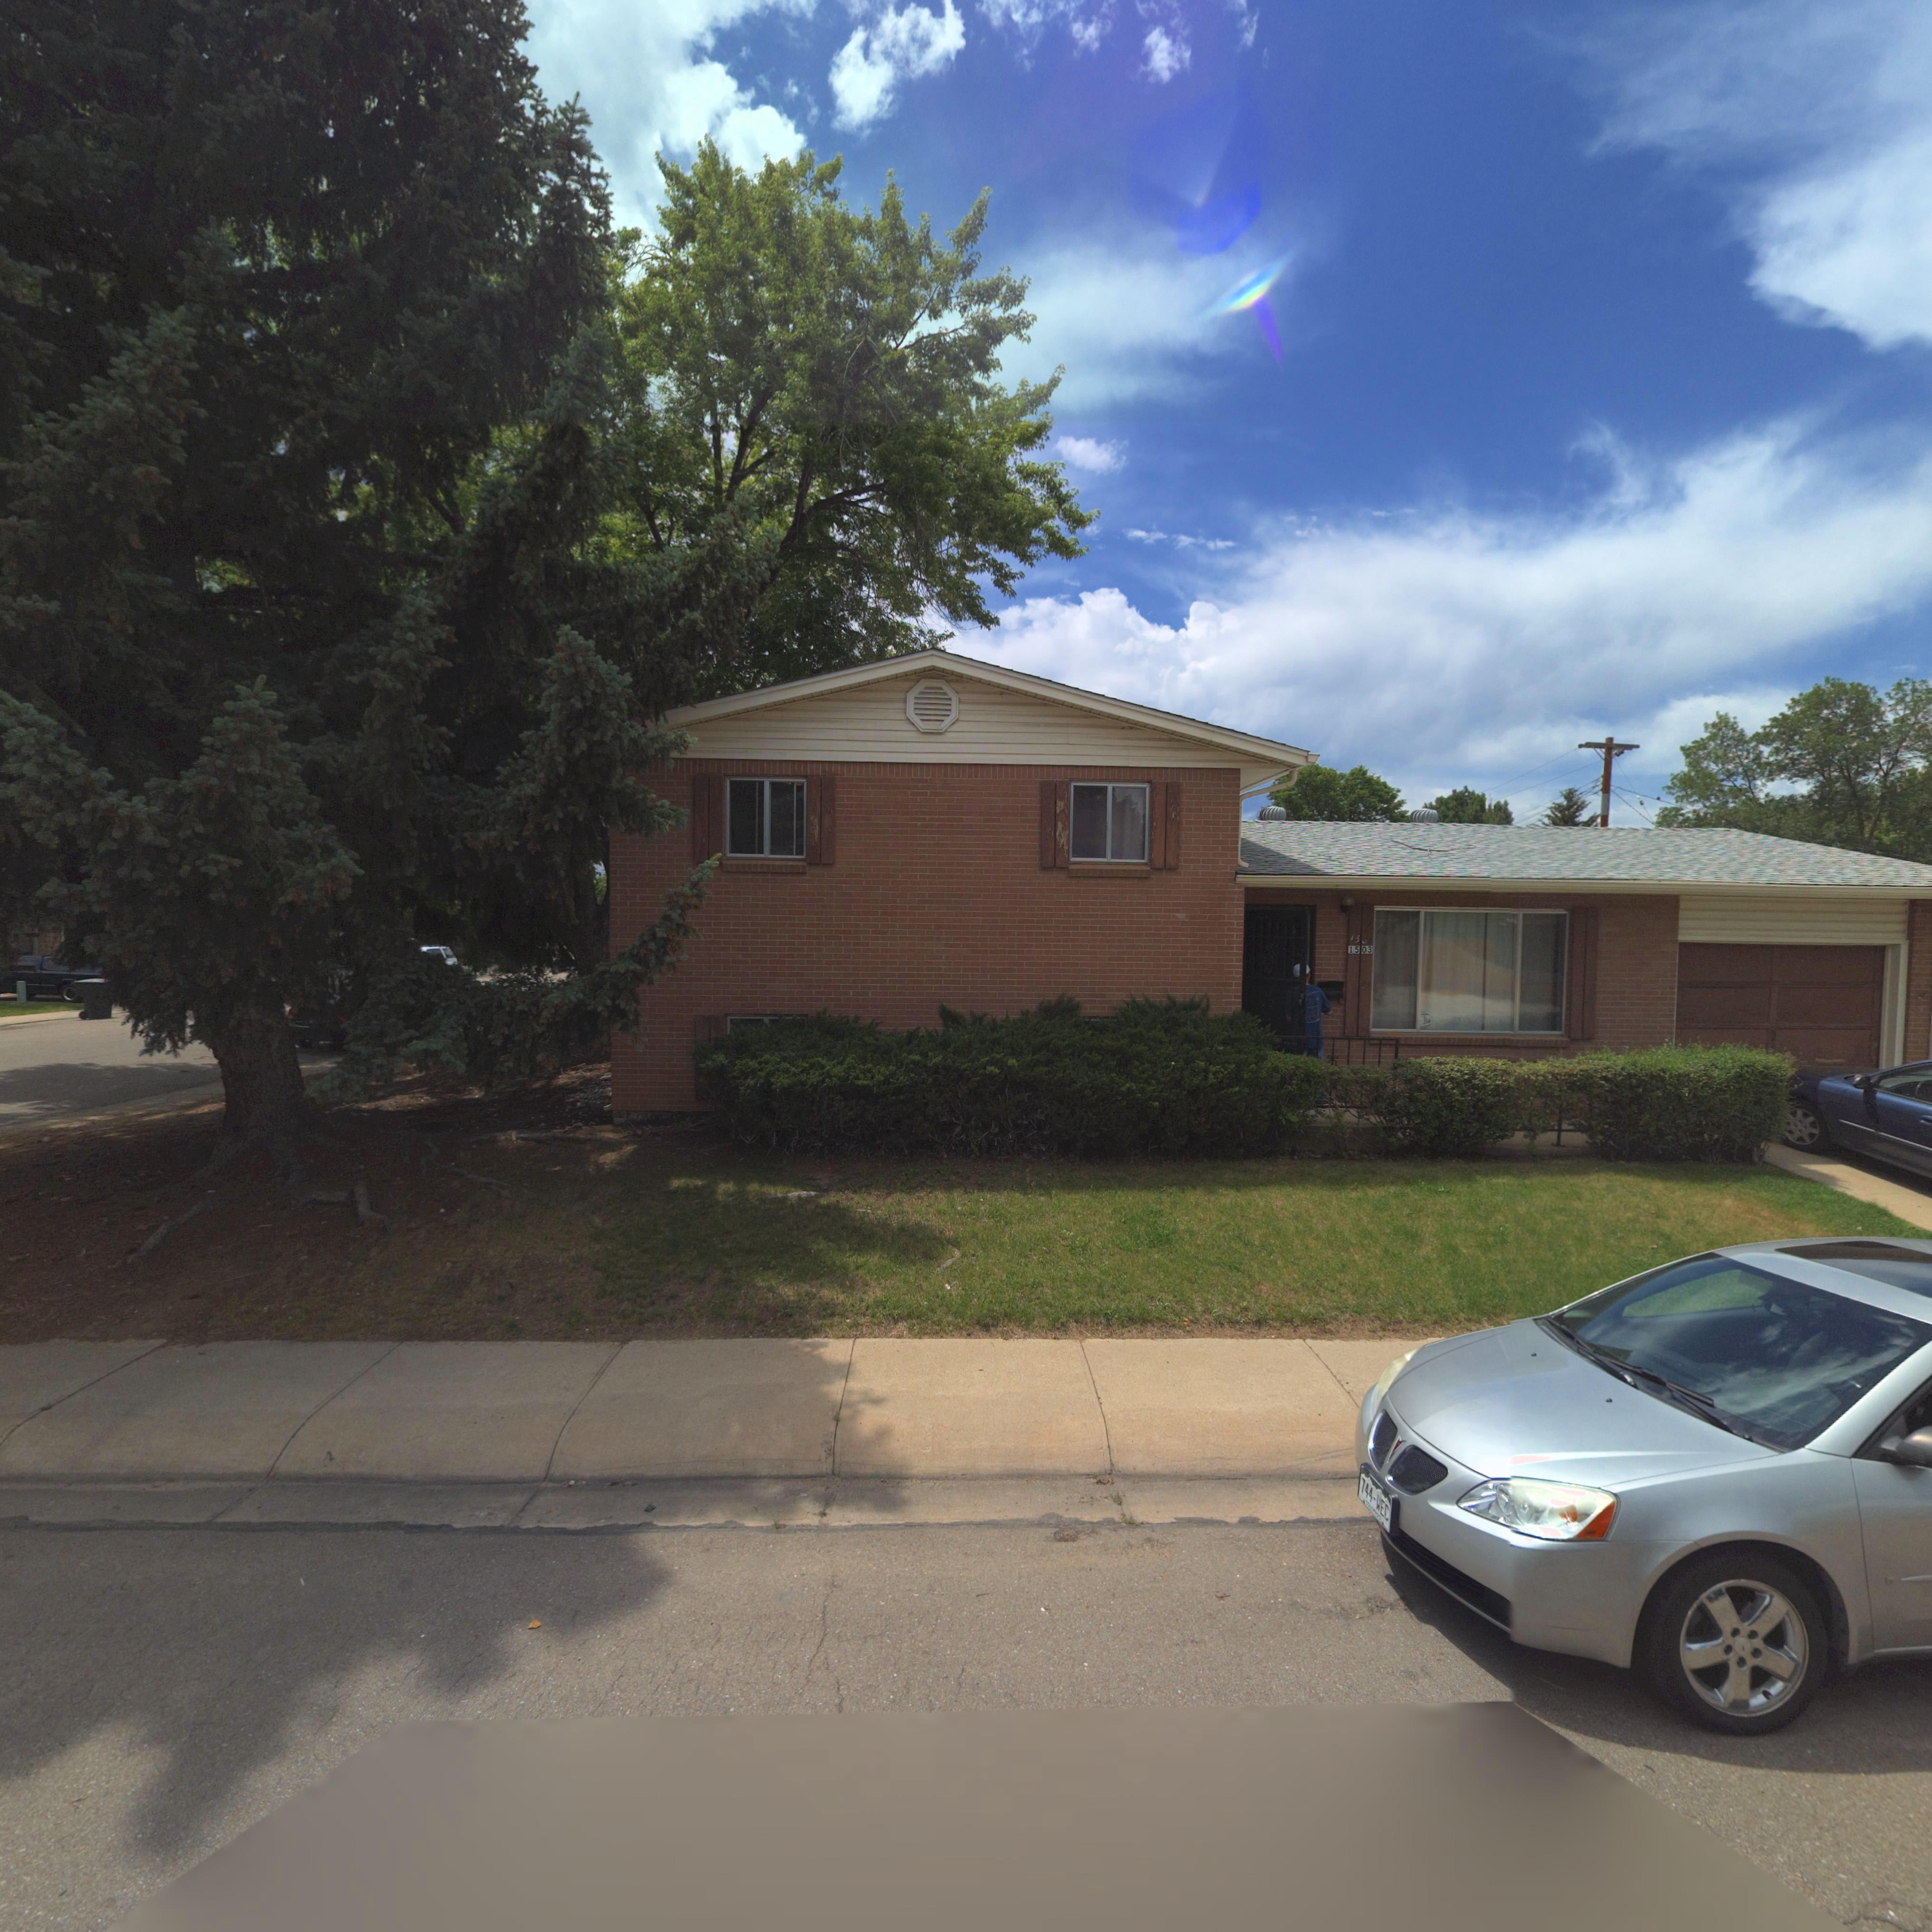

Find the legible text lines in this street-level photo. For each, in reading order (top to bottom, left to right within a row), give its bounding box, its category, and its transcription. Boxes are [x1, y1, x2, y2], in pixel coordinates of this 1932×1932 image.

[1349, 933, 1360, 943] StreetNumber: 15
[1349, 946, 1372, 953] StreetNumber: 1503